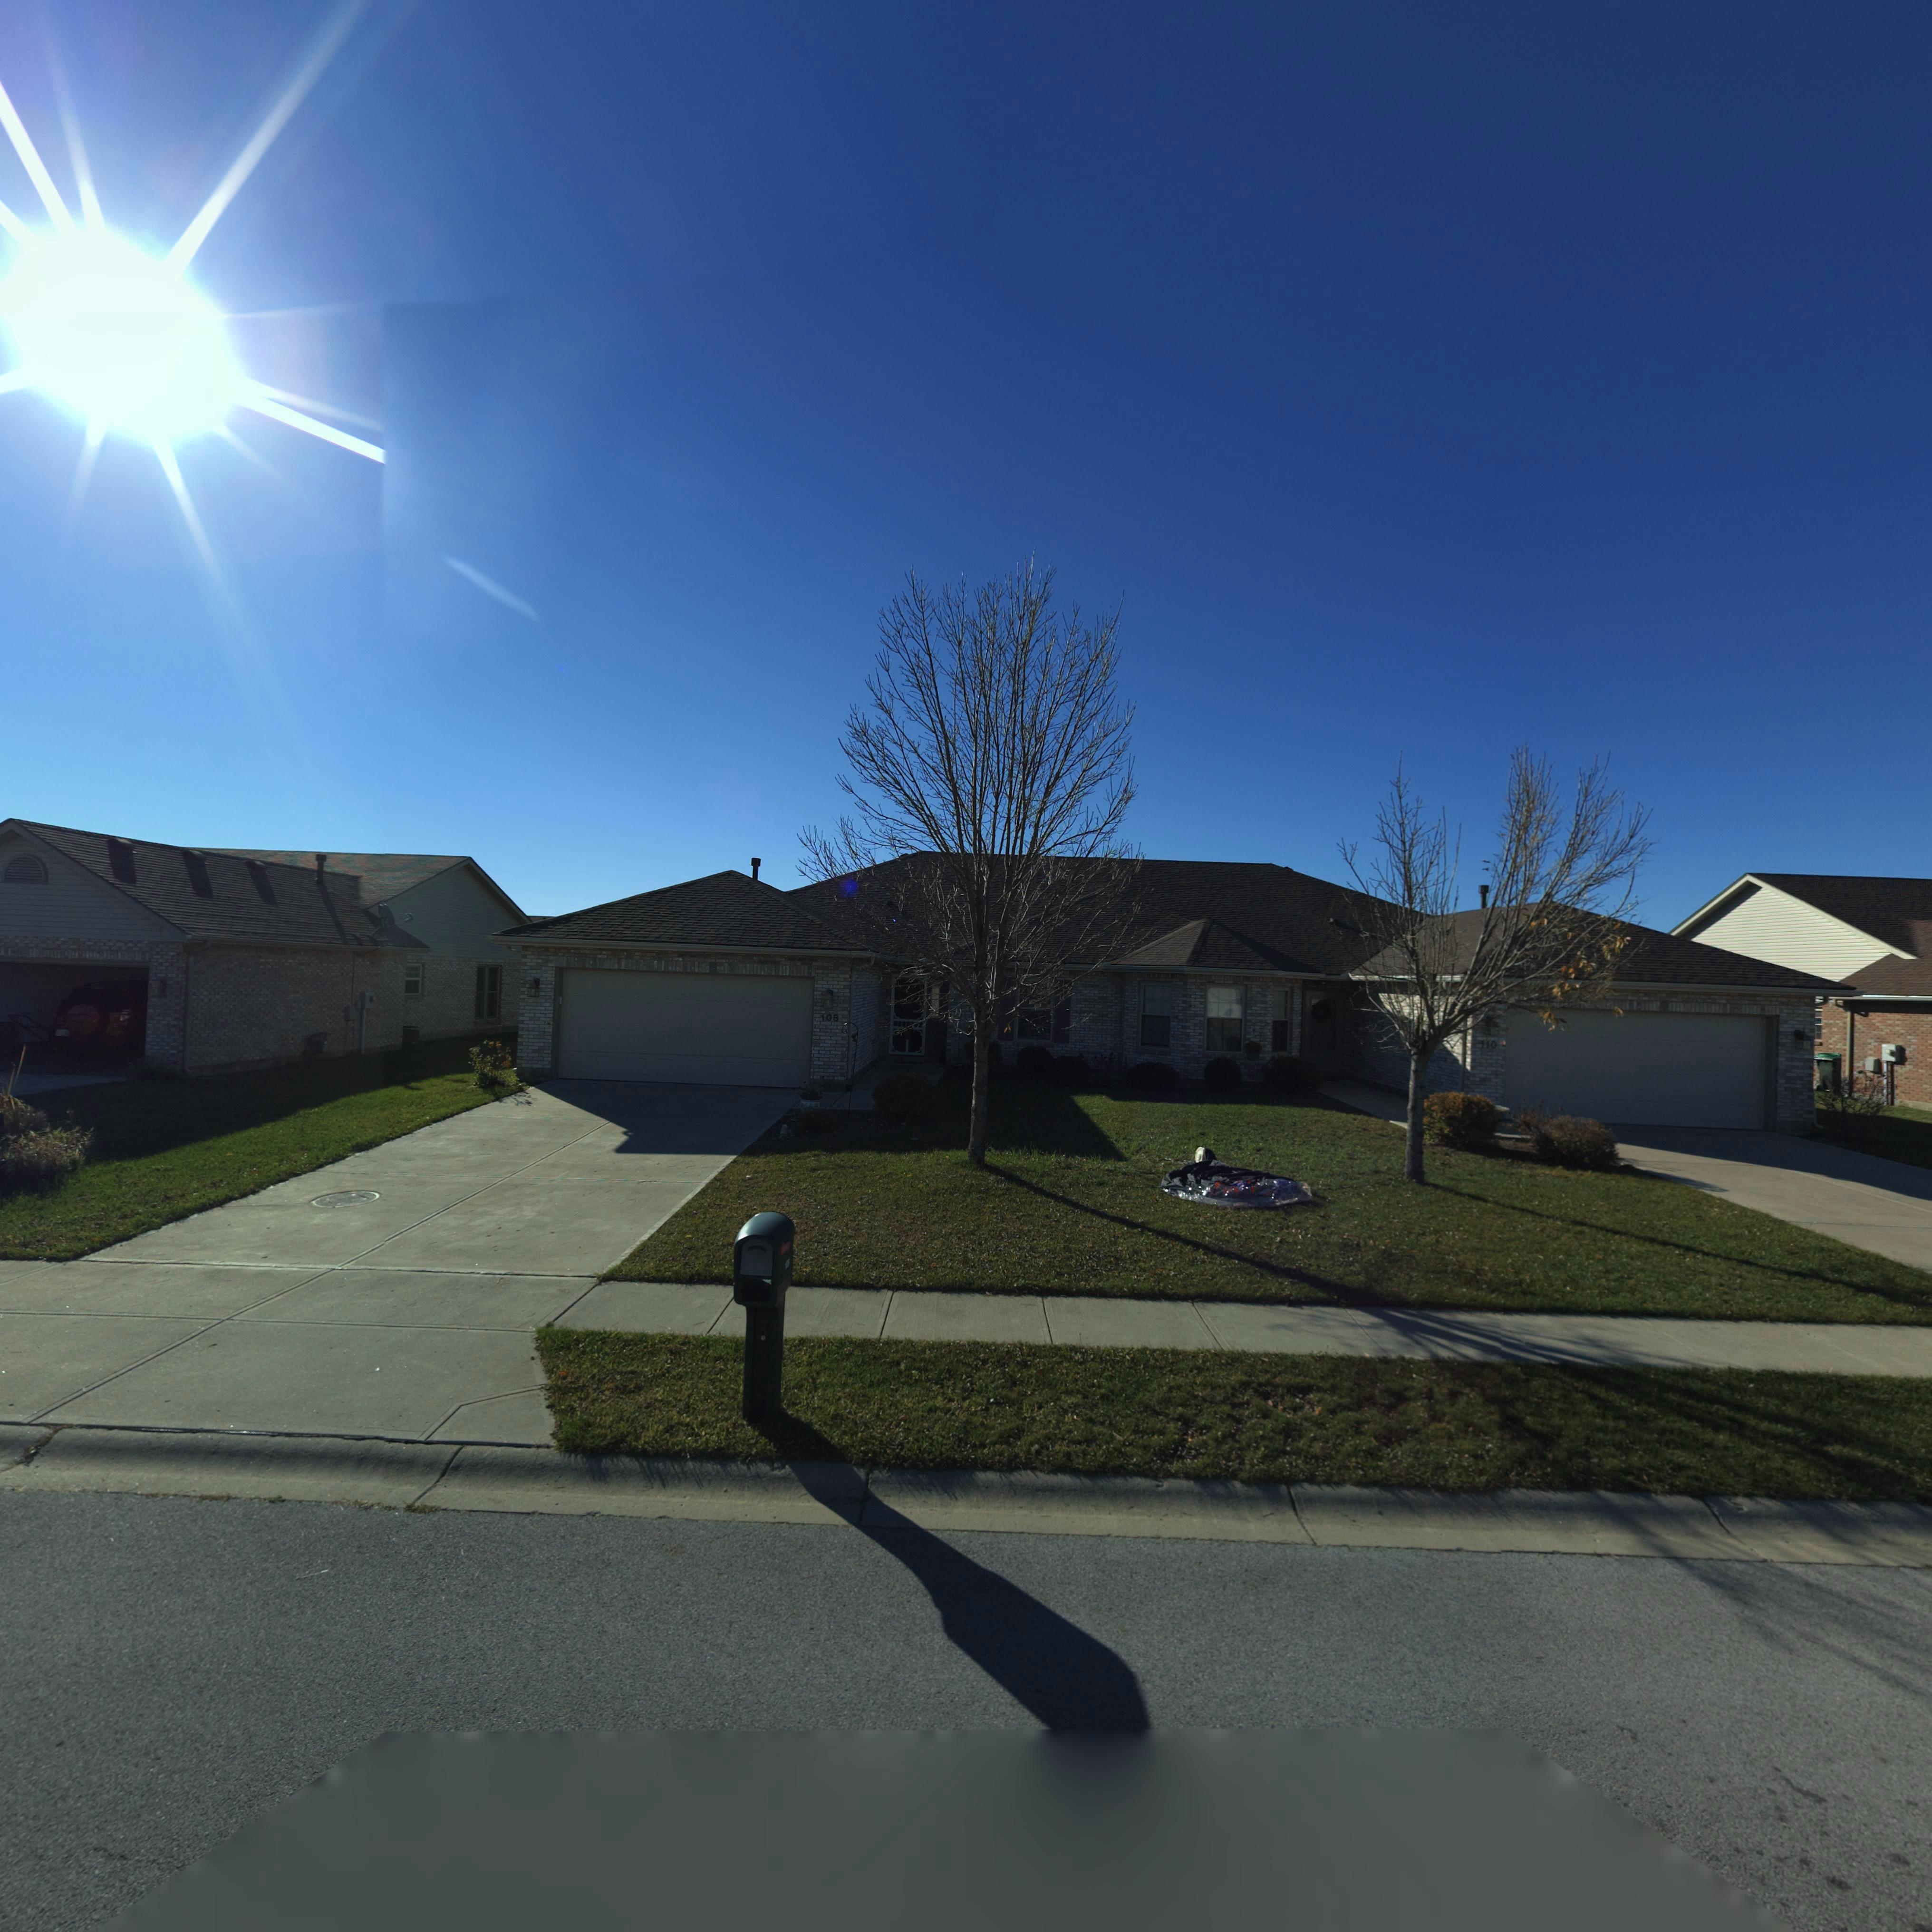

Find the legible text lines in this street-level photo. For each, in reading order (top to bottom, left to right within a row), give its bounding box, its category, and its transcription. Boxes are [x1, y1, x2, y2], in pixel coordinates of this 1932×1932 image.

[820, 1013, 840, 1023] StreetNumber: 108
[1479, 1040, 1498, 1050] StreetNumber: 110